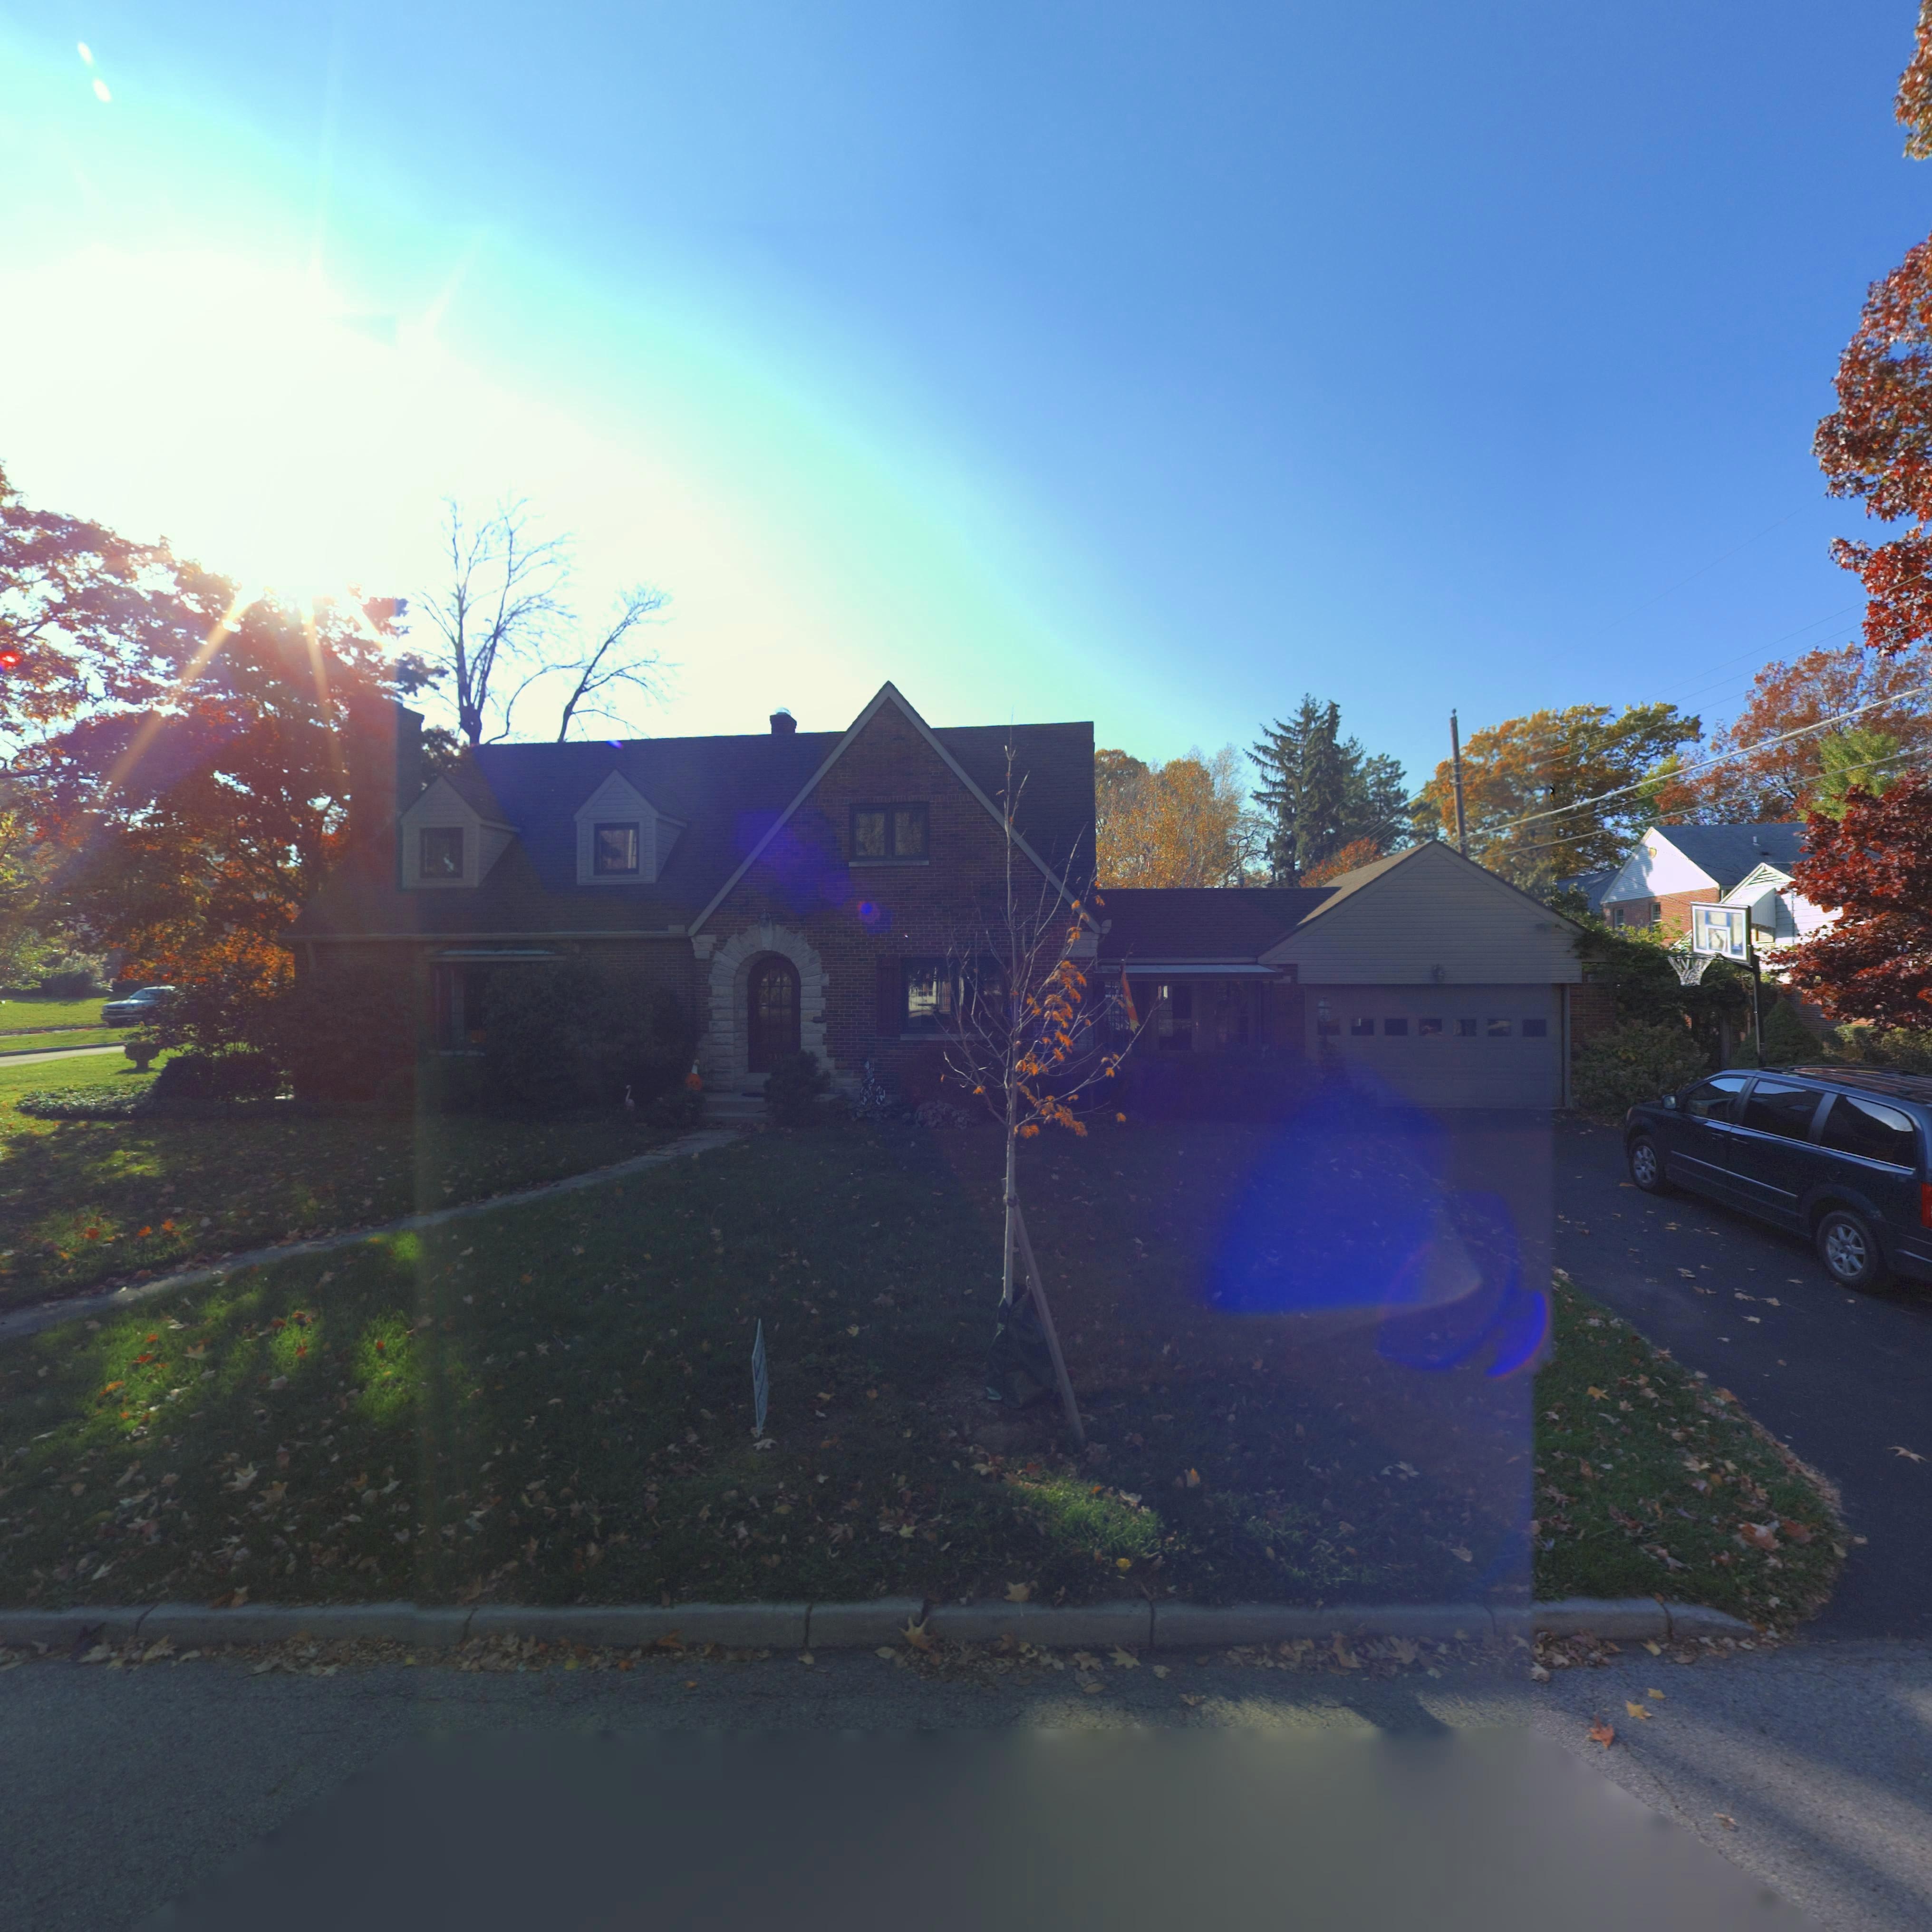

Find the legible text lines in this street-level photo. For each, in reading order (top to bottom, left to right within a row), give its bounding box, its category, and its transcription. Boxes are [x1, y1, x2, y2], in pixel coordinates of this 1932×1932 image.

[767, 1053, 782, 1060] StreetNumber: 93*